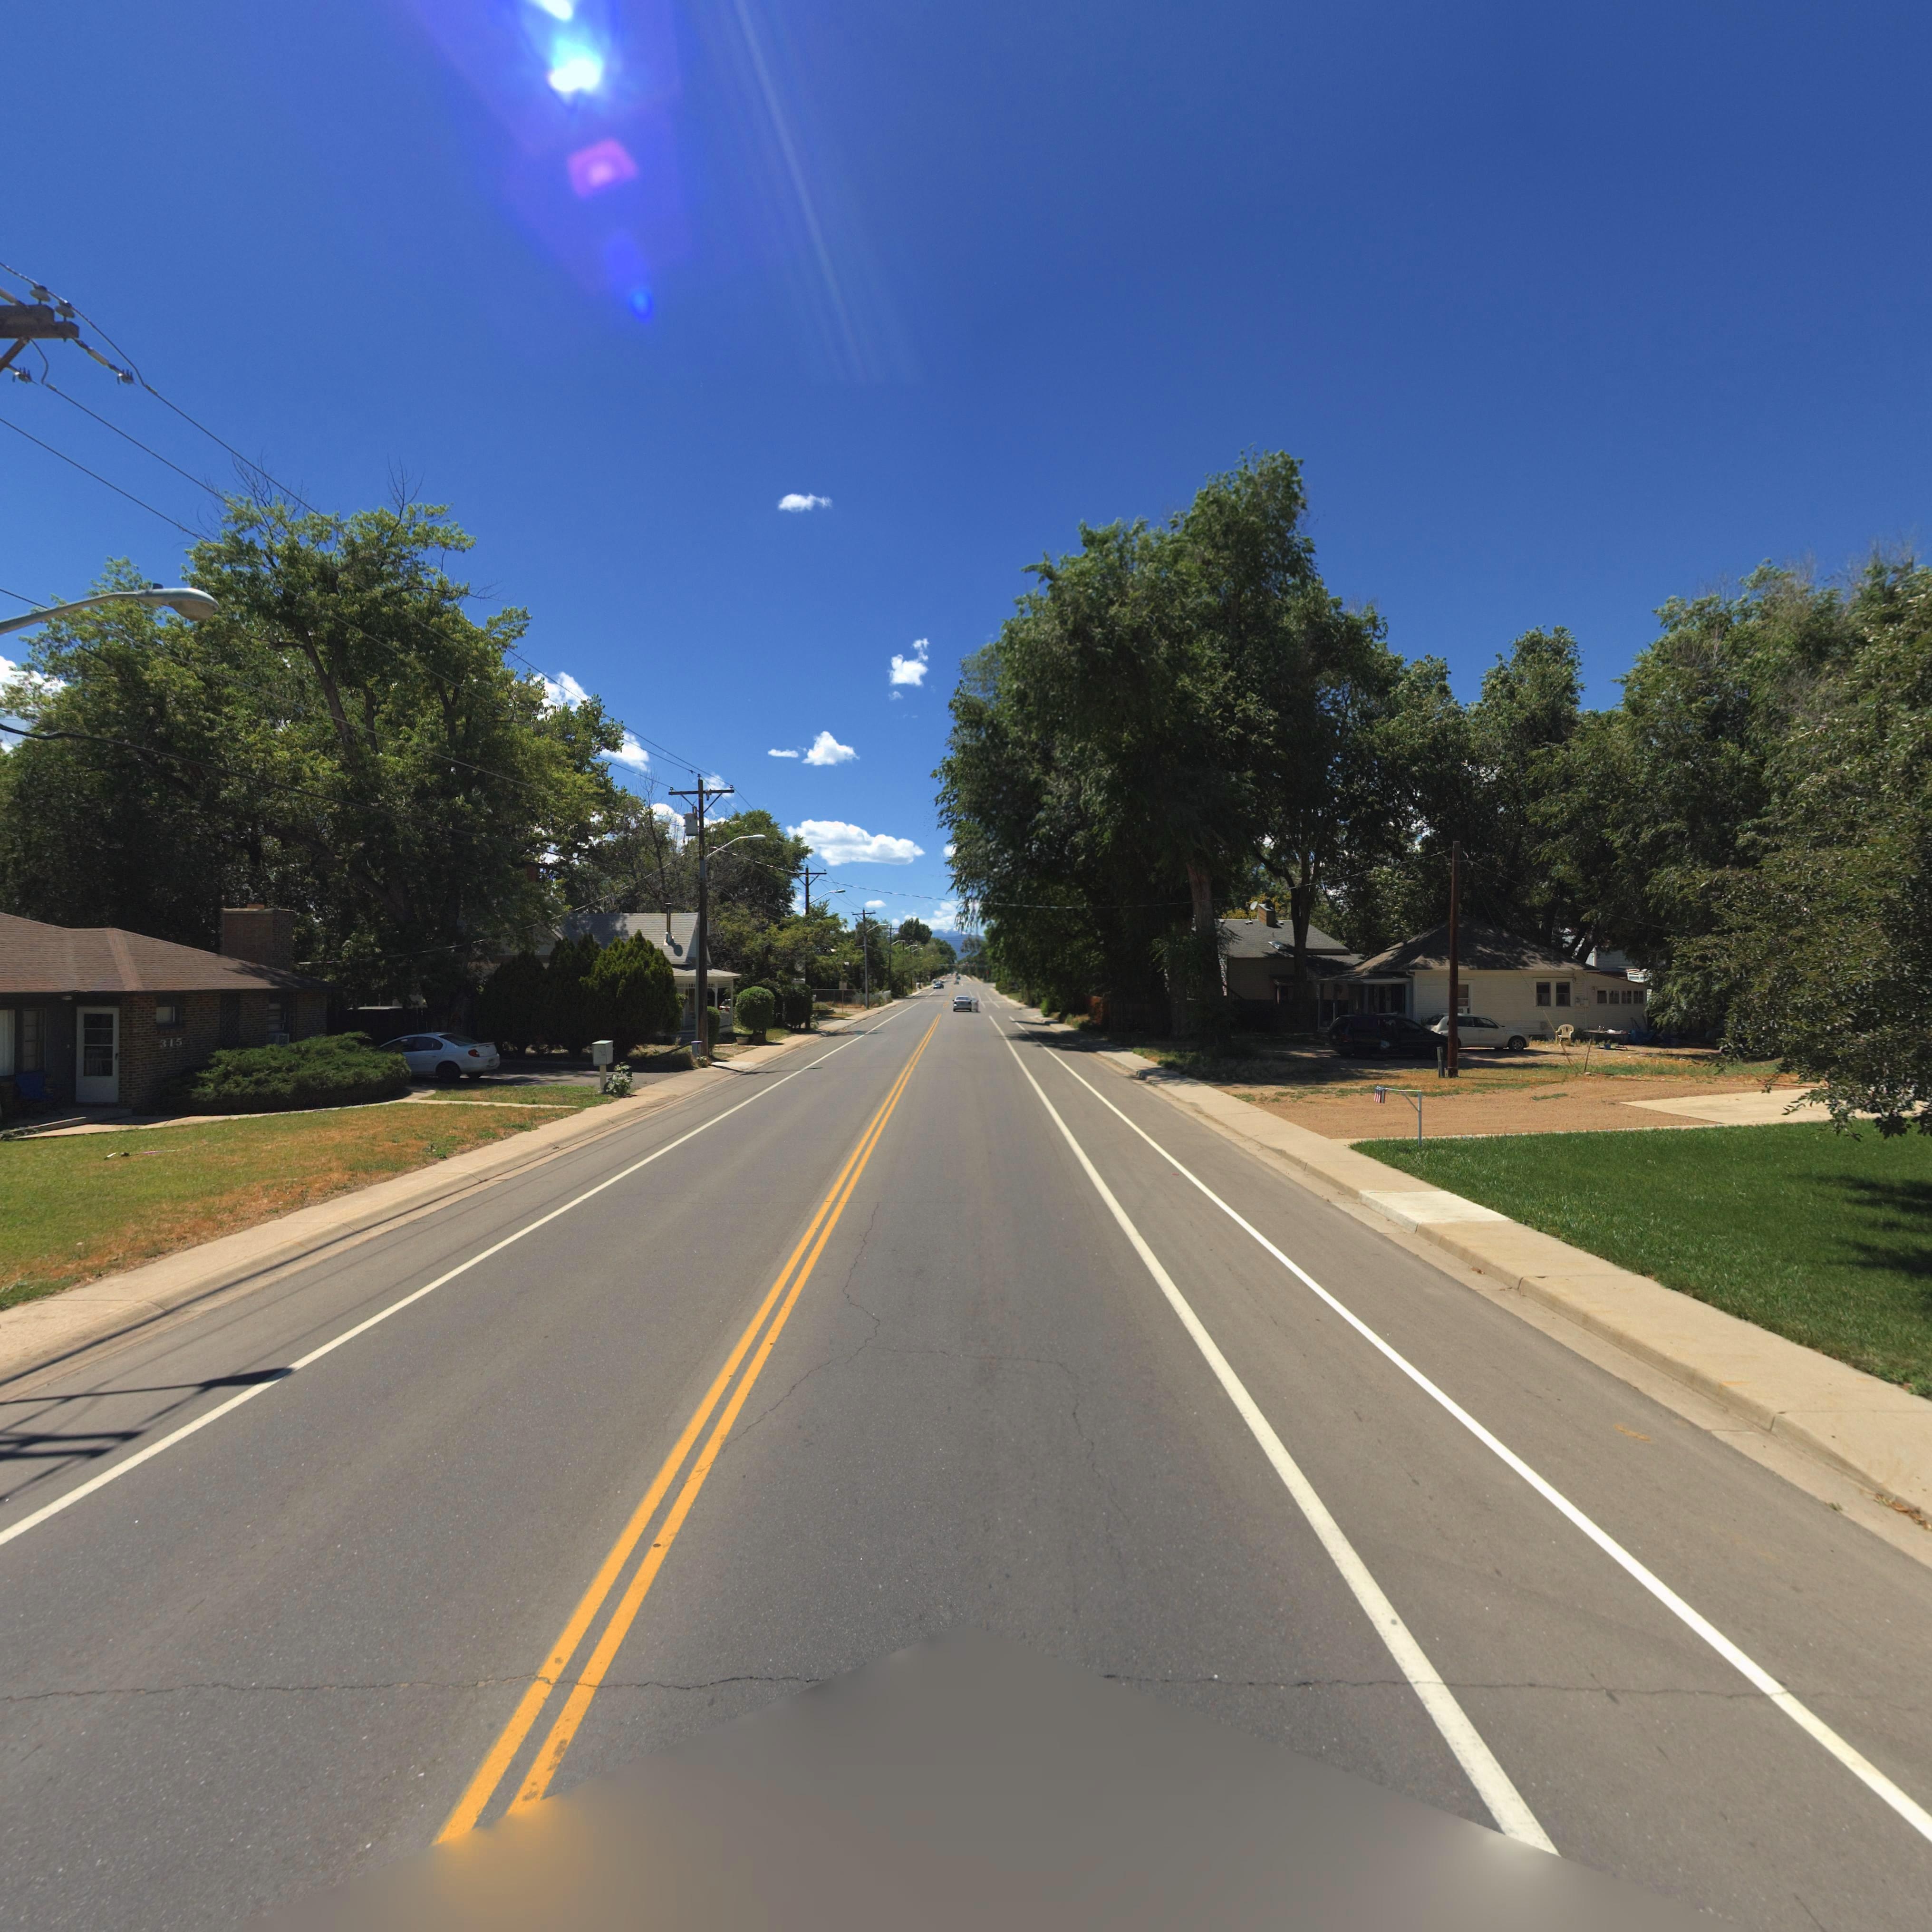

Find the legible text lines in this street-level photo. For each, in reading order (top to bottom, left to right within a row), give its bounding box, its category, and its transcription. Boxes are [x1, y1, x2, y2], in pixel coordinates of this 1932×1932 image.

[160, 1037, 183, 1048] StreetNumber: 315